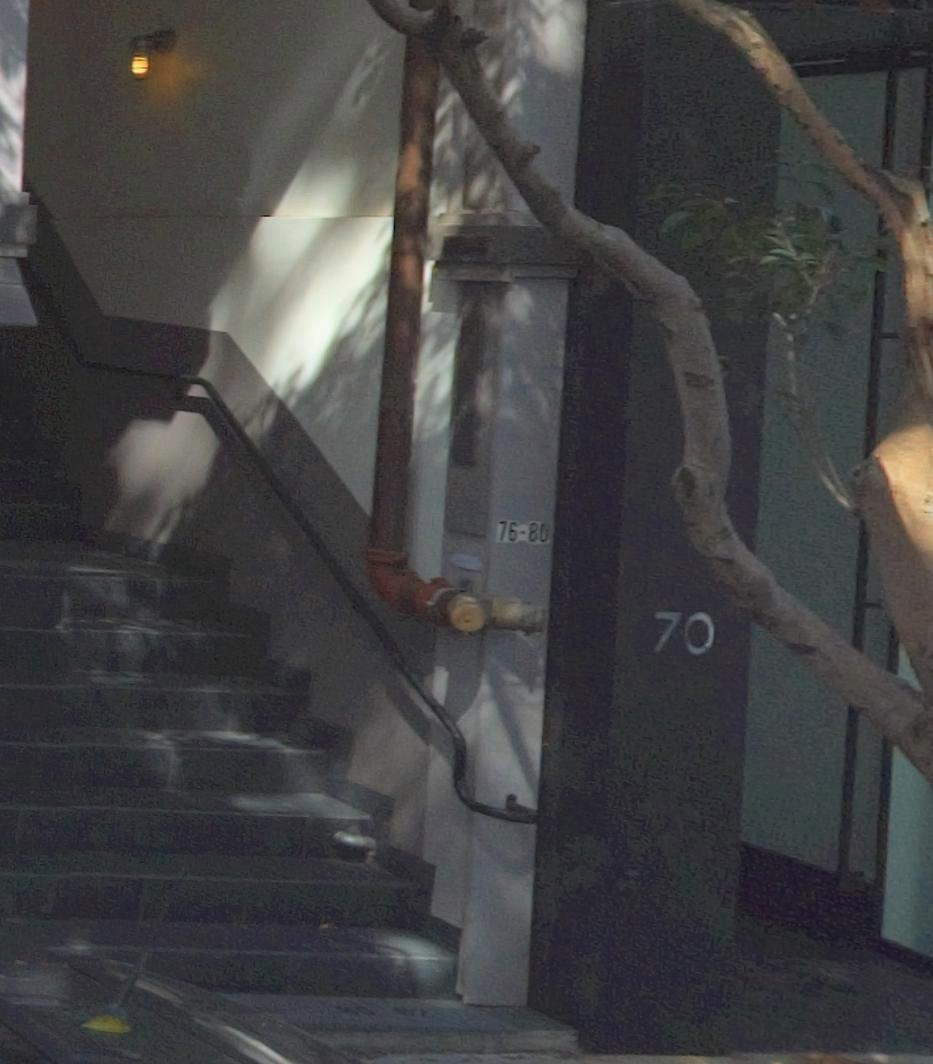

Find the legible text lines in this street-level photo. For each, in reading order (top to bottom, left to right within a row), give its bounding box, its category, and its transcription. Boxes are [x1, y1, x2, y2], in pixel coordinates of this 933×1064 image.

[495, 517, 521, 545] StreetNumber: 76
[527, 520, 550, 546] StreetNumber: 80
[649, 605, 719, 660] StreetNumber: 70